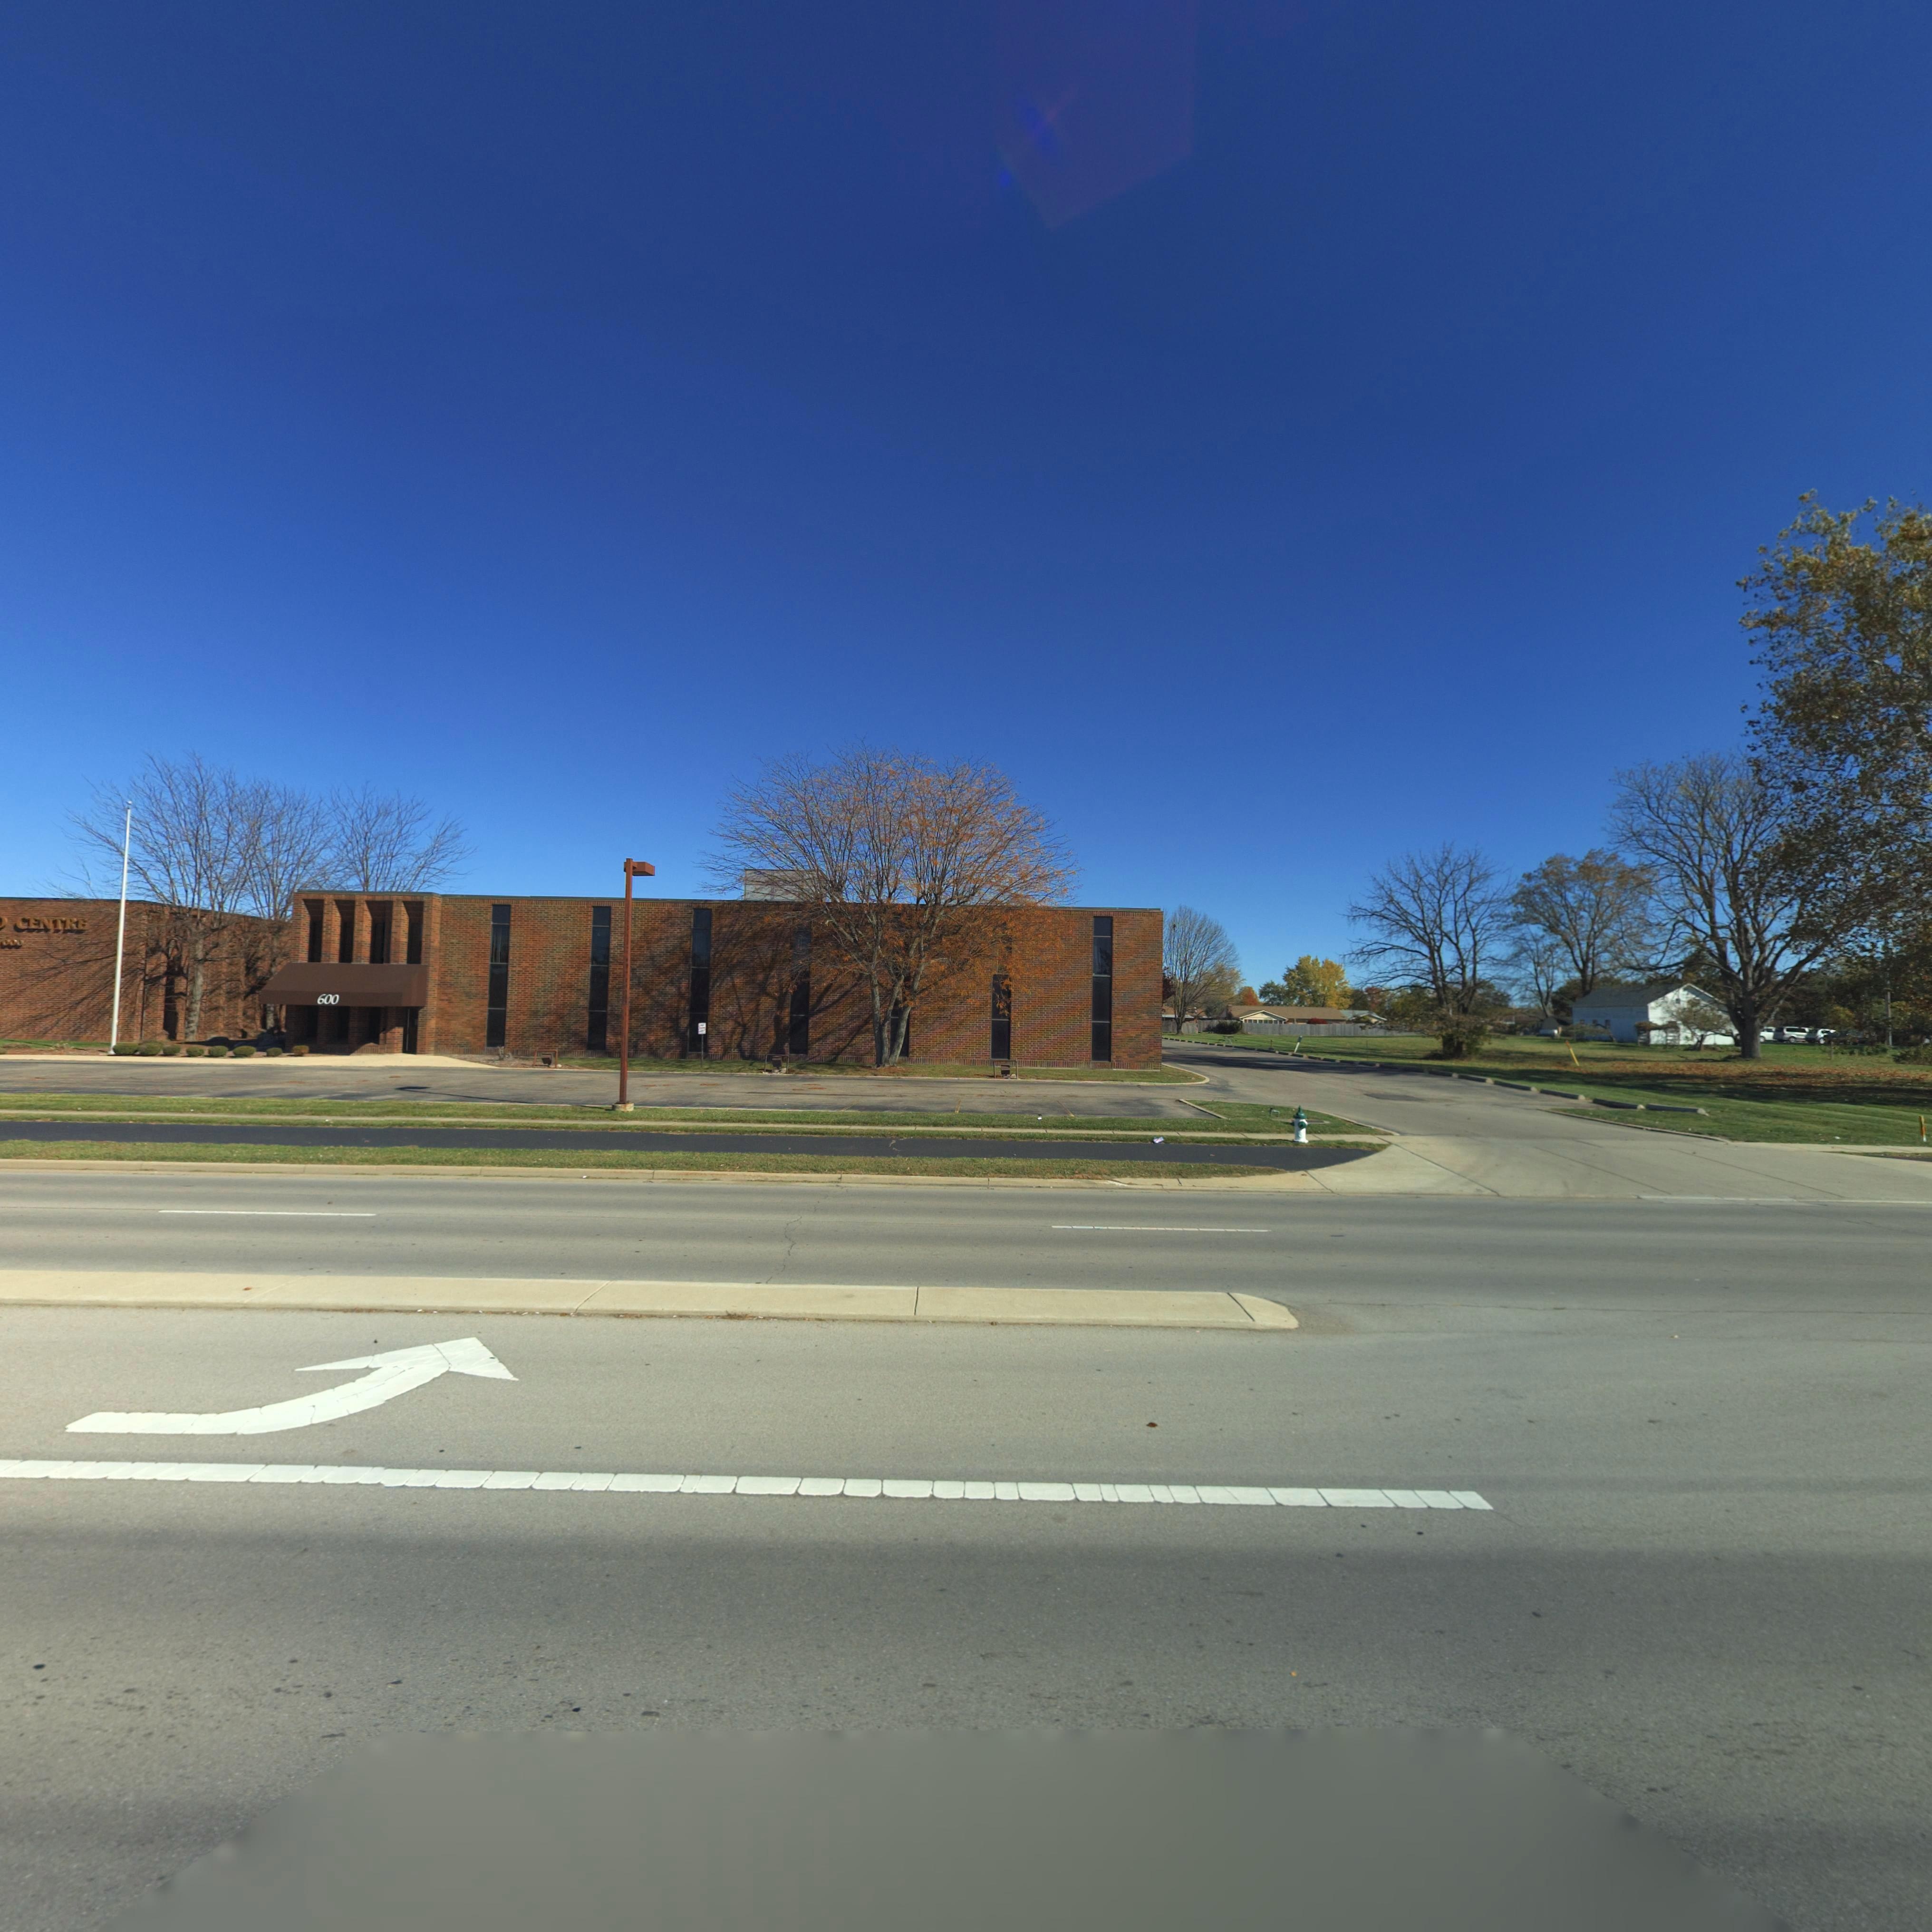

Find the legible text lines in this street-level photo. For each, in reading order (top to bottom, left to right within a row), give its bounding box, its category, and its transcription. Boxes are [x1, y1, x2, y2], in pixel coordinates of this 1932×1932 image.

[15, 915, 90, 931] BusinessName: CENTRE
[0, 934, 24, 947] StreetNumber: 600
[316, 993, 340, 1005] StreetNumber: 600